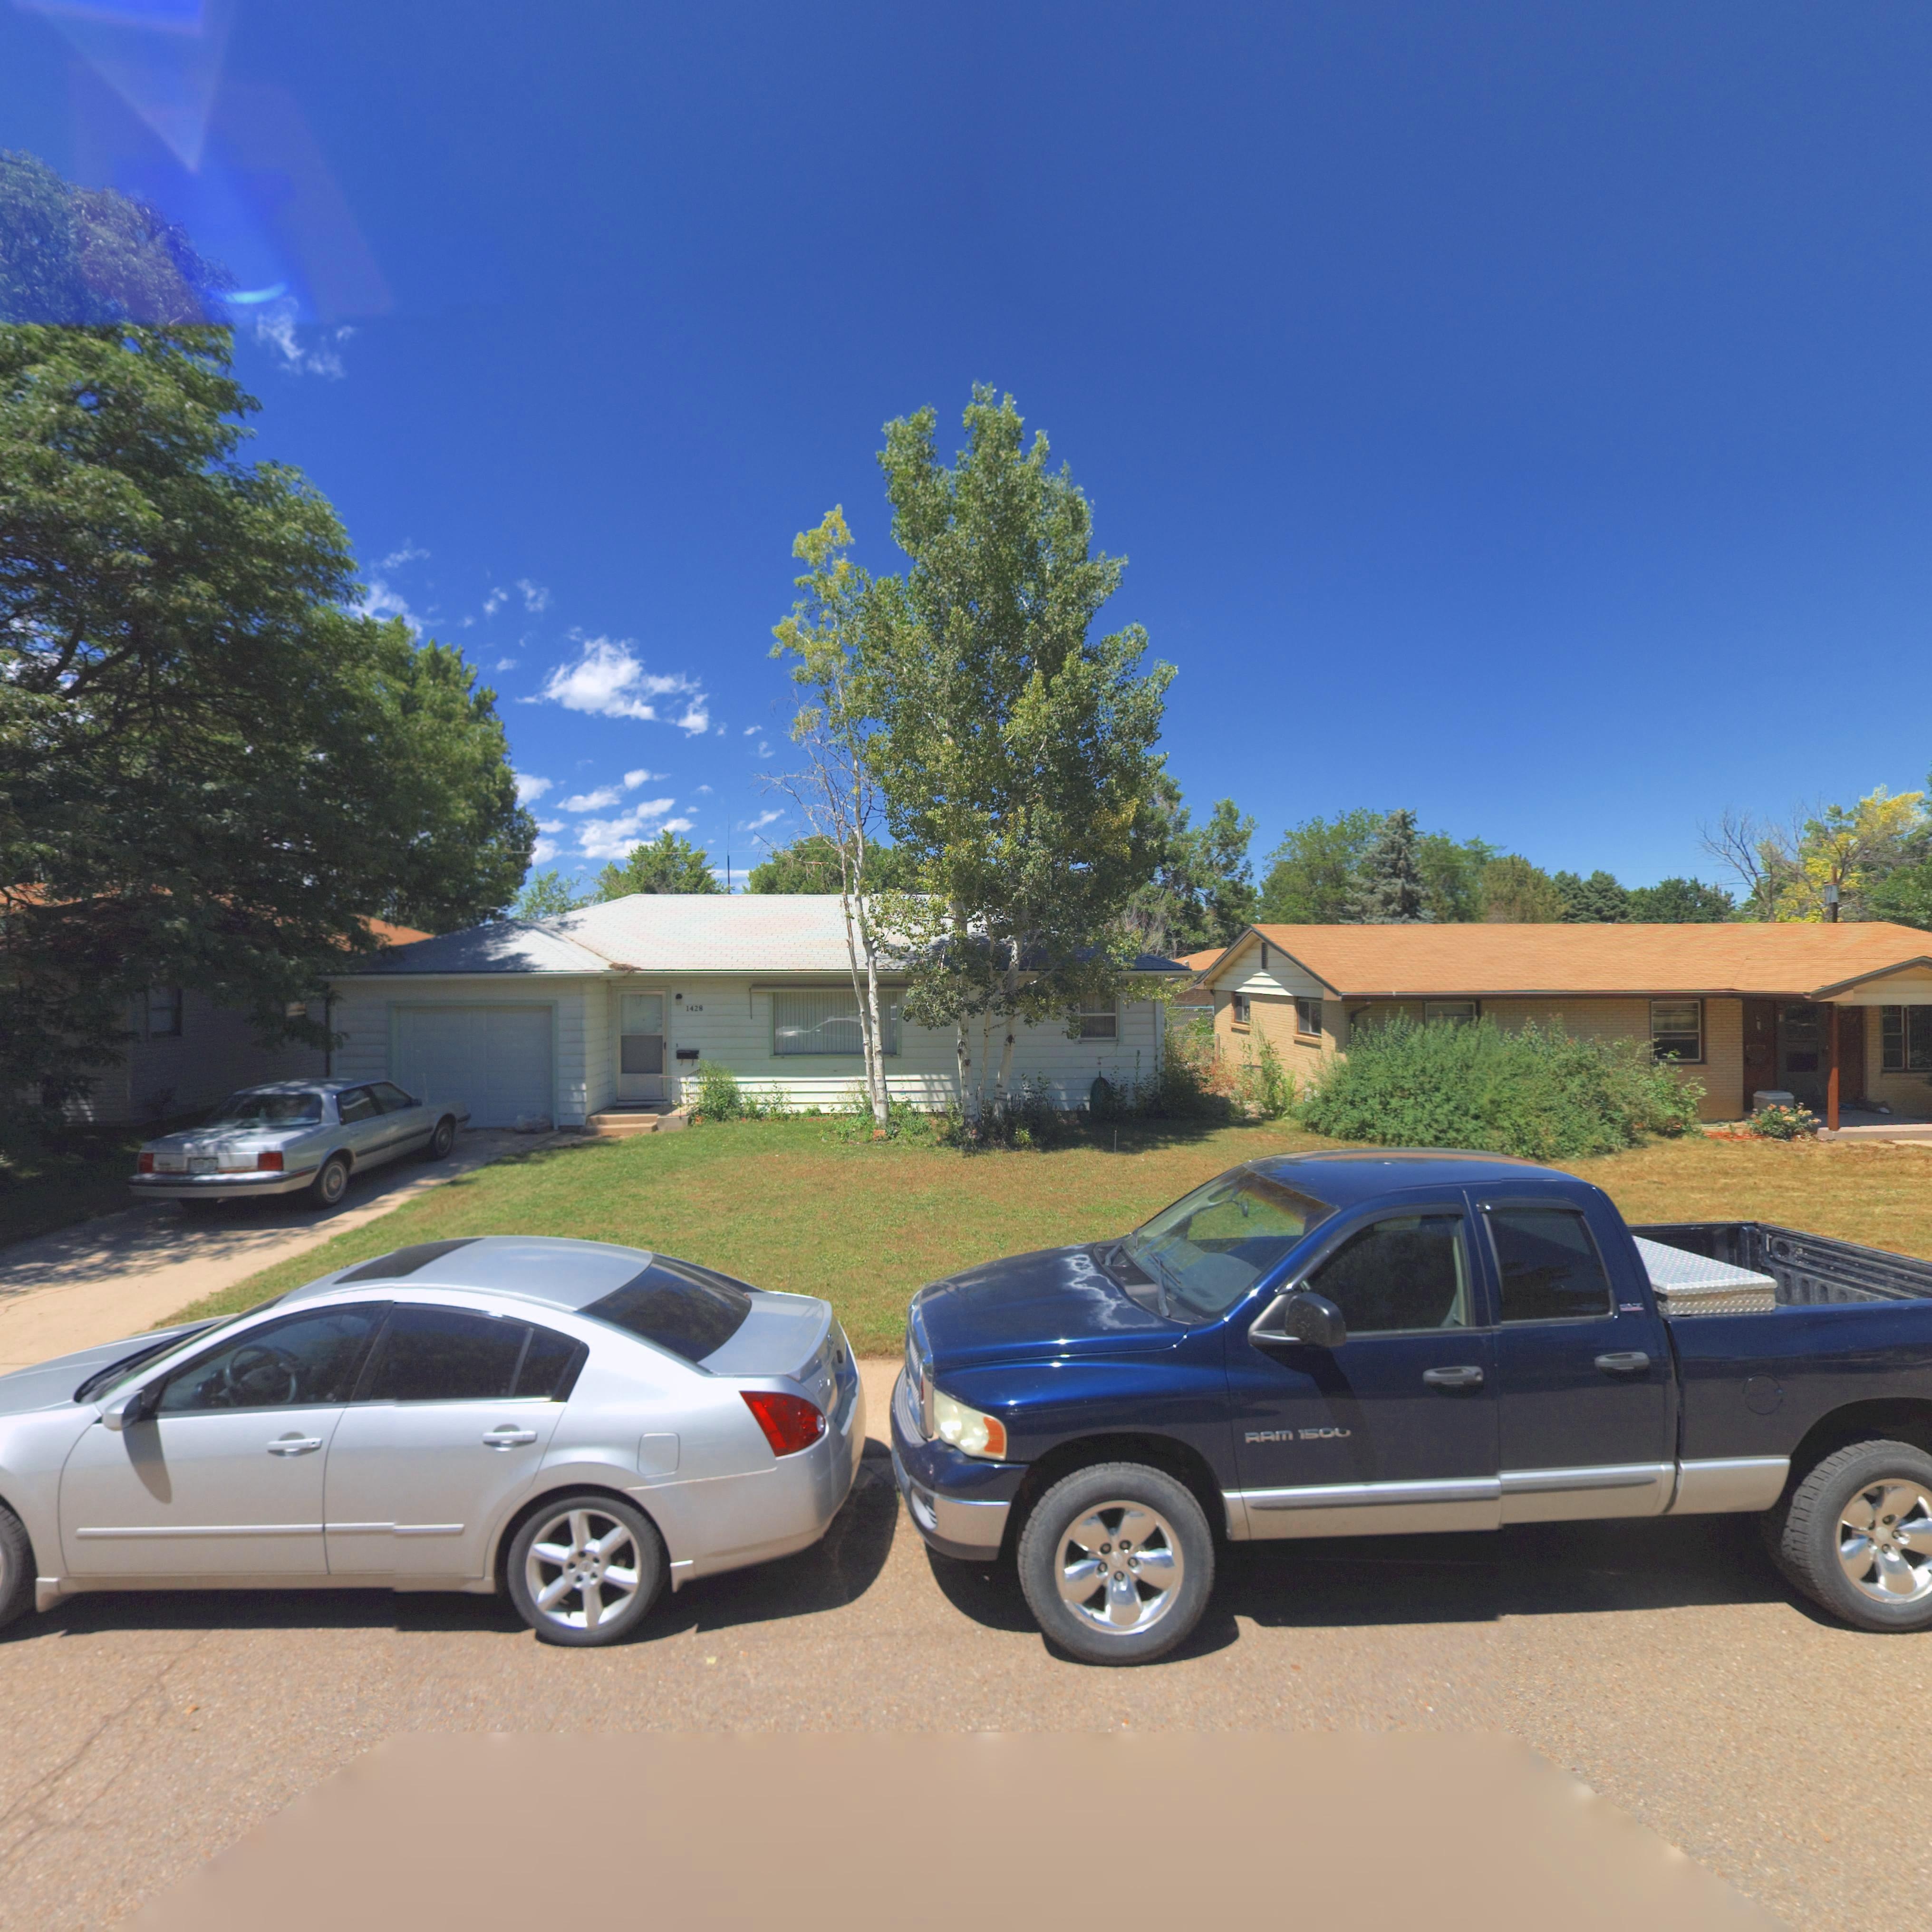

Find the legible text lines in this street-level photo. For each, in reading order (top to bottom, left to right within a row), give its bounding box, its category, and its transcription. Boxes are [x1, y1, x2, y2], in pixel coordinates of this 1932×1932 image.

[686, 1005, 703, 1012] StreetNumber: 1428